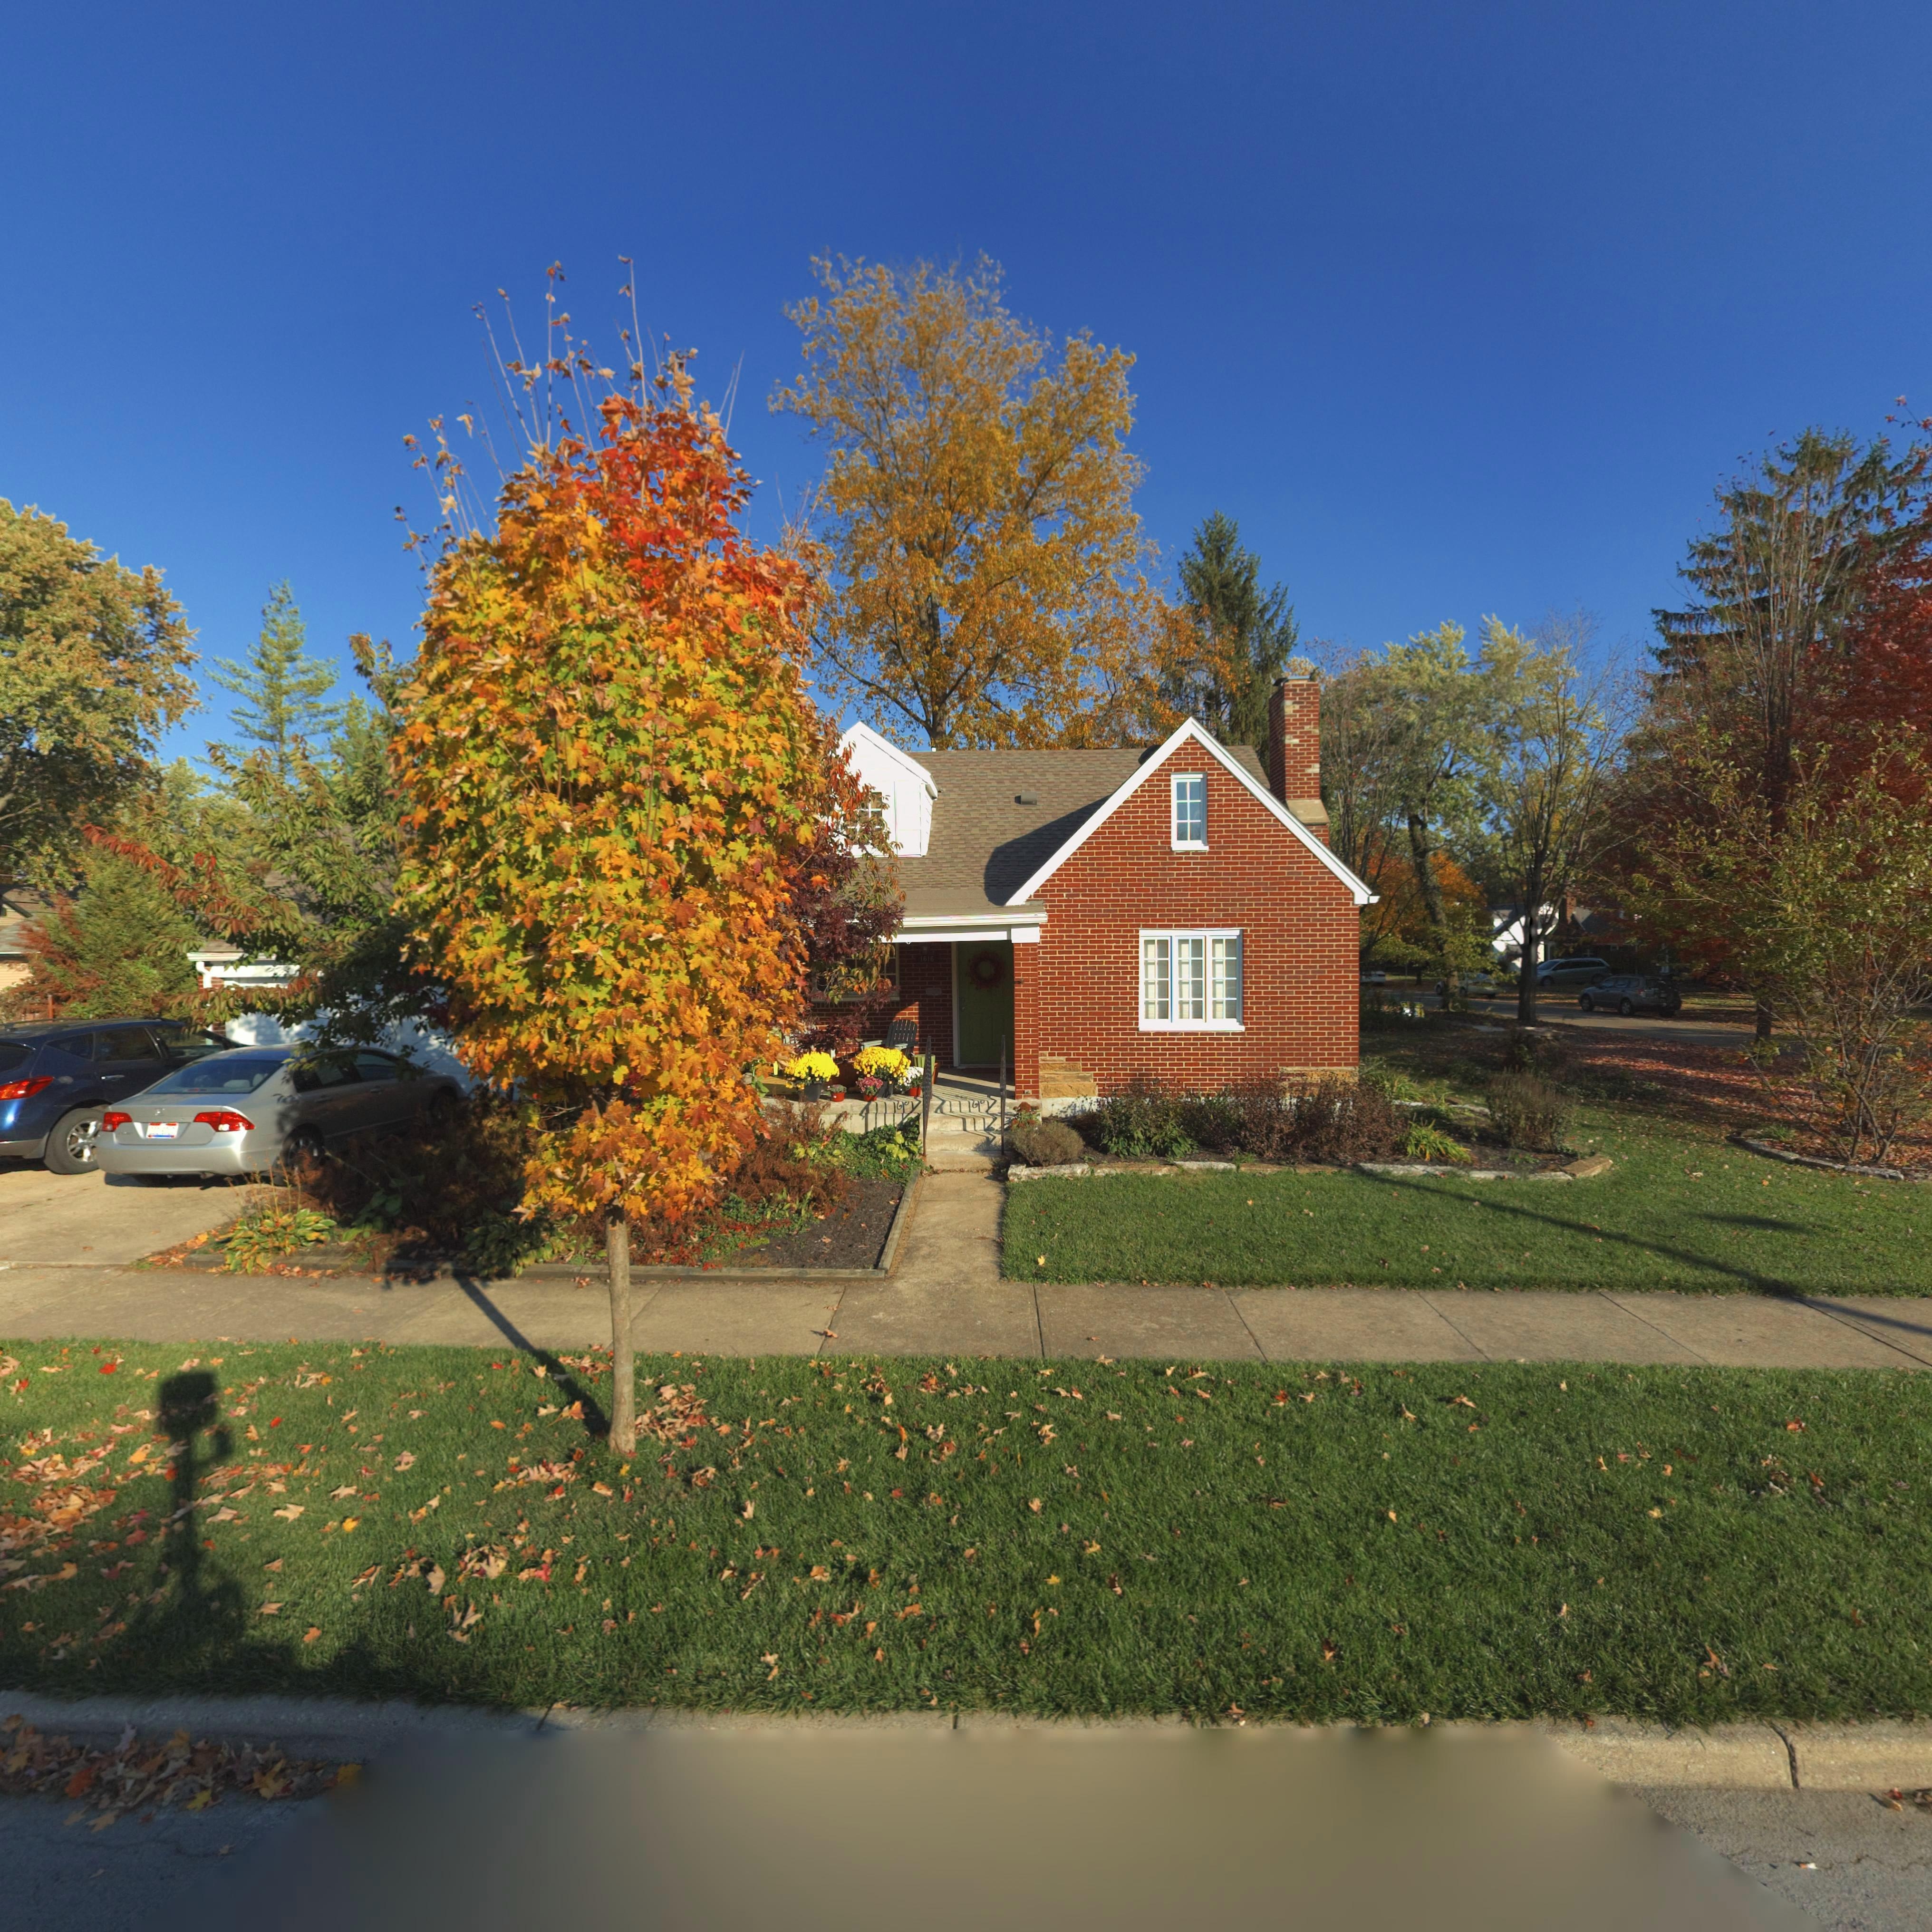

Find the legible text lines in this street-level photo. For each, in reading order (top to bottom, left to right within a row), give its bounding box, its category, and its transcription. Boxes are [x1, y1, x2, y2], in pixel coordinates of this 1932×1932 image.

[920, 955, 935, 963] StreetNumber: 1616